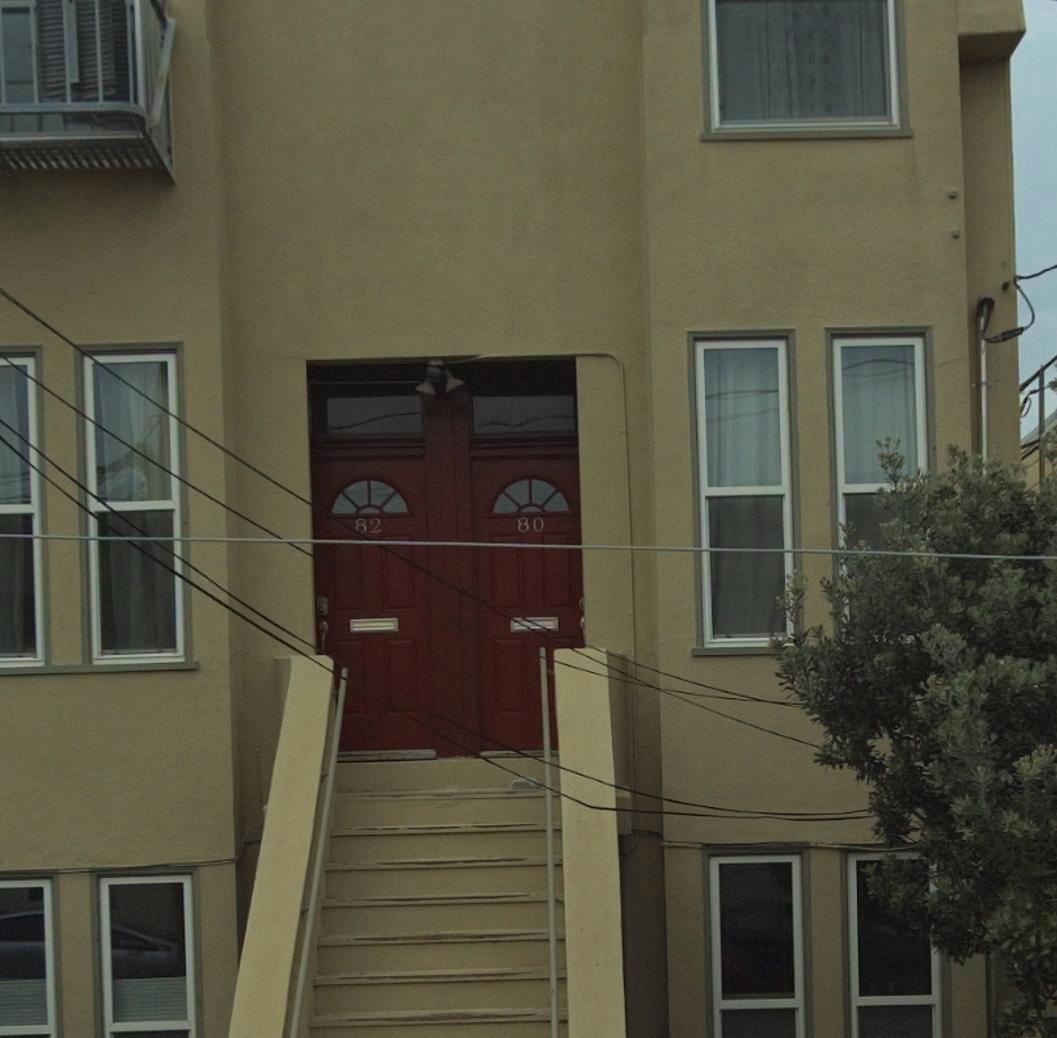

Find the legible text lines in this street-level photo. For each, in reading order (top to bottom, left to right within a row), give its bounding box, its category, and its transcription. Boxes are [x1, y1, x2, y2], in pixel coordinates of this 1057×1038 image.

[354, 516, 382, 535] StreetNumber: 82
[515, 516, 545, 534] StreetNumber: 80